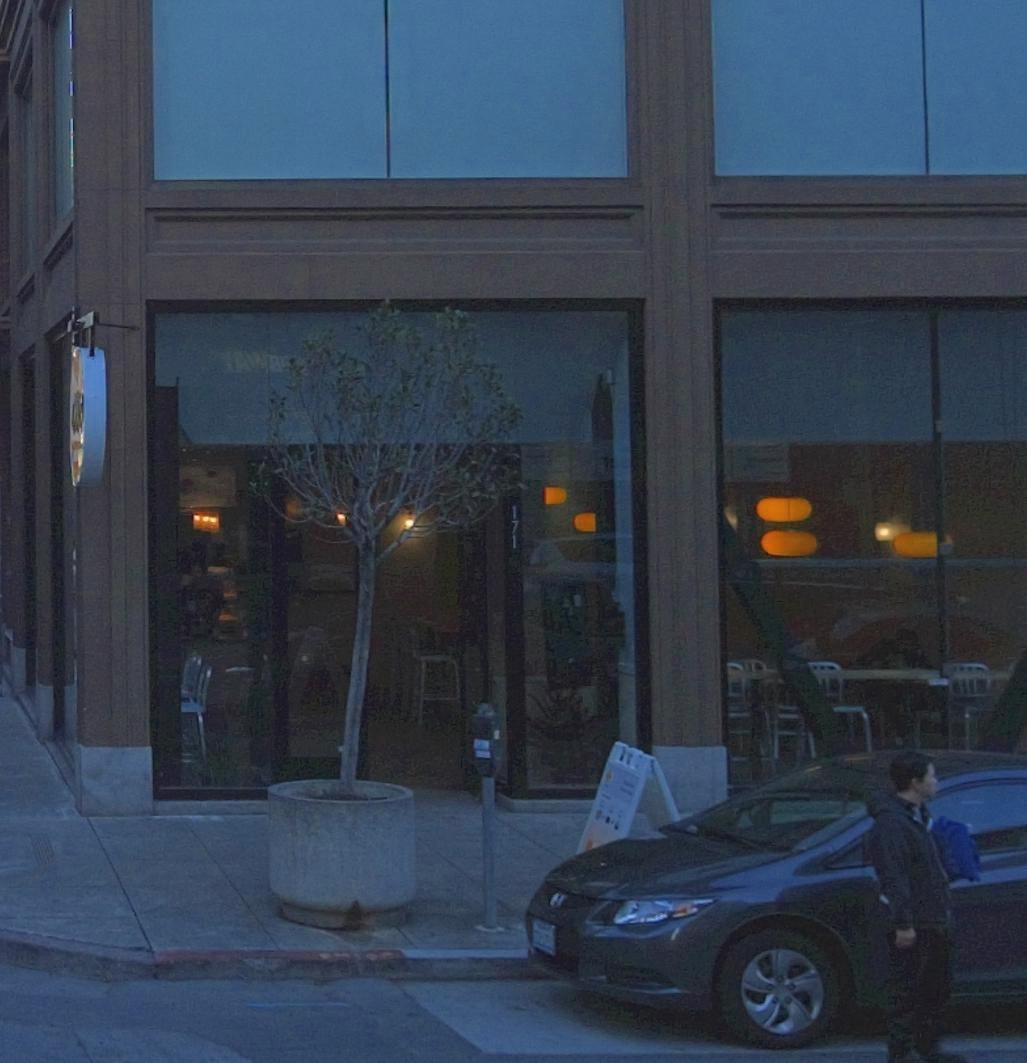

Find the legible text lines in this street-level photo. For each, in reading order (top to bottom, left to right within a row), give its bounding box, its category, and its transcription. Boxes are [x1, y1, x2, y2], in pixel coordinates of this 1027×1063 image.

[509, 503, 522, 552] StreetNumber: 171